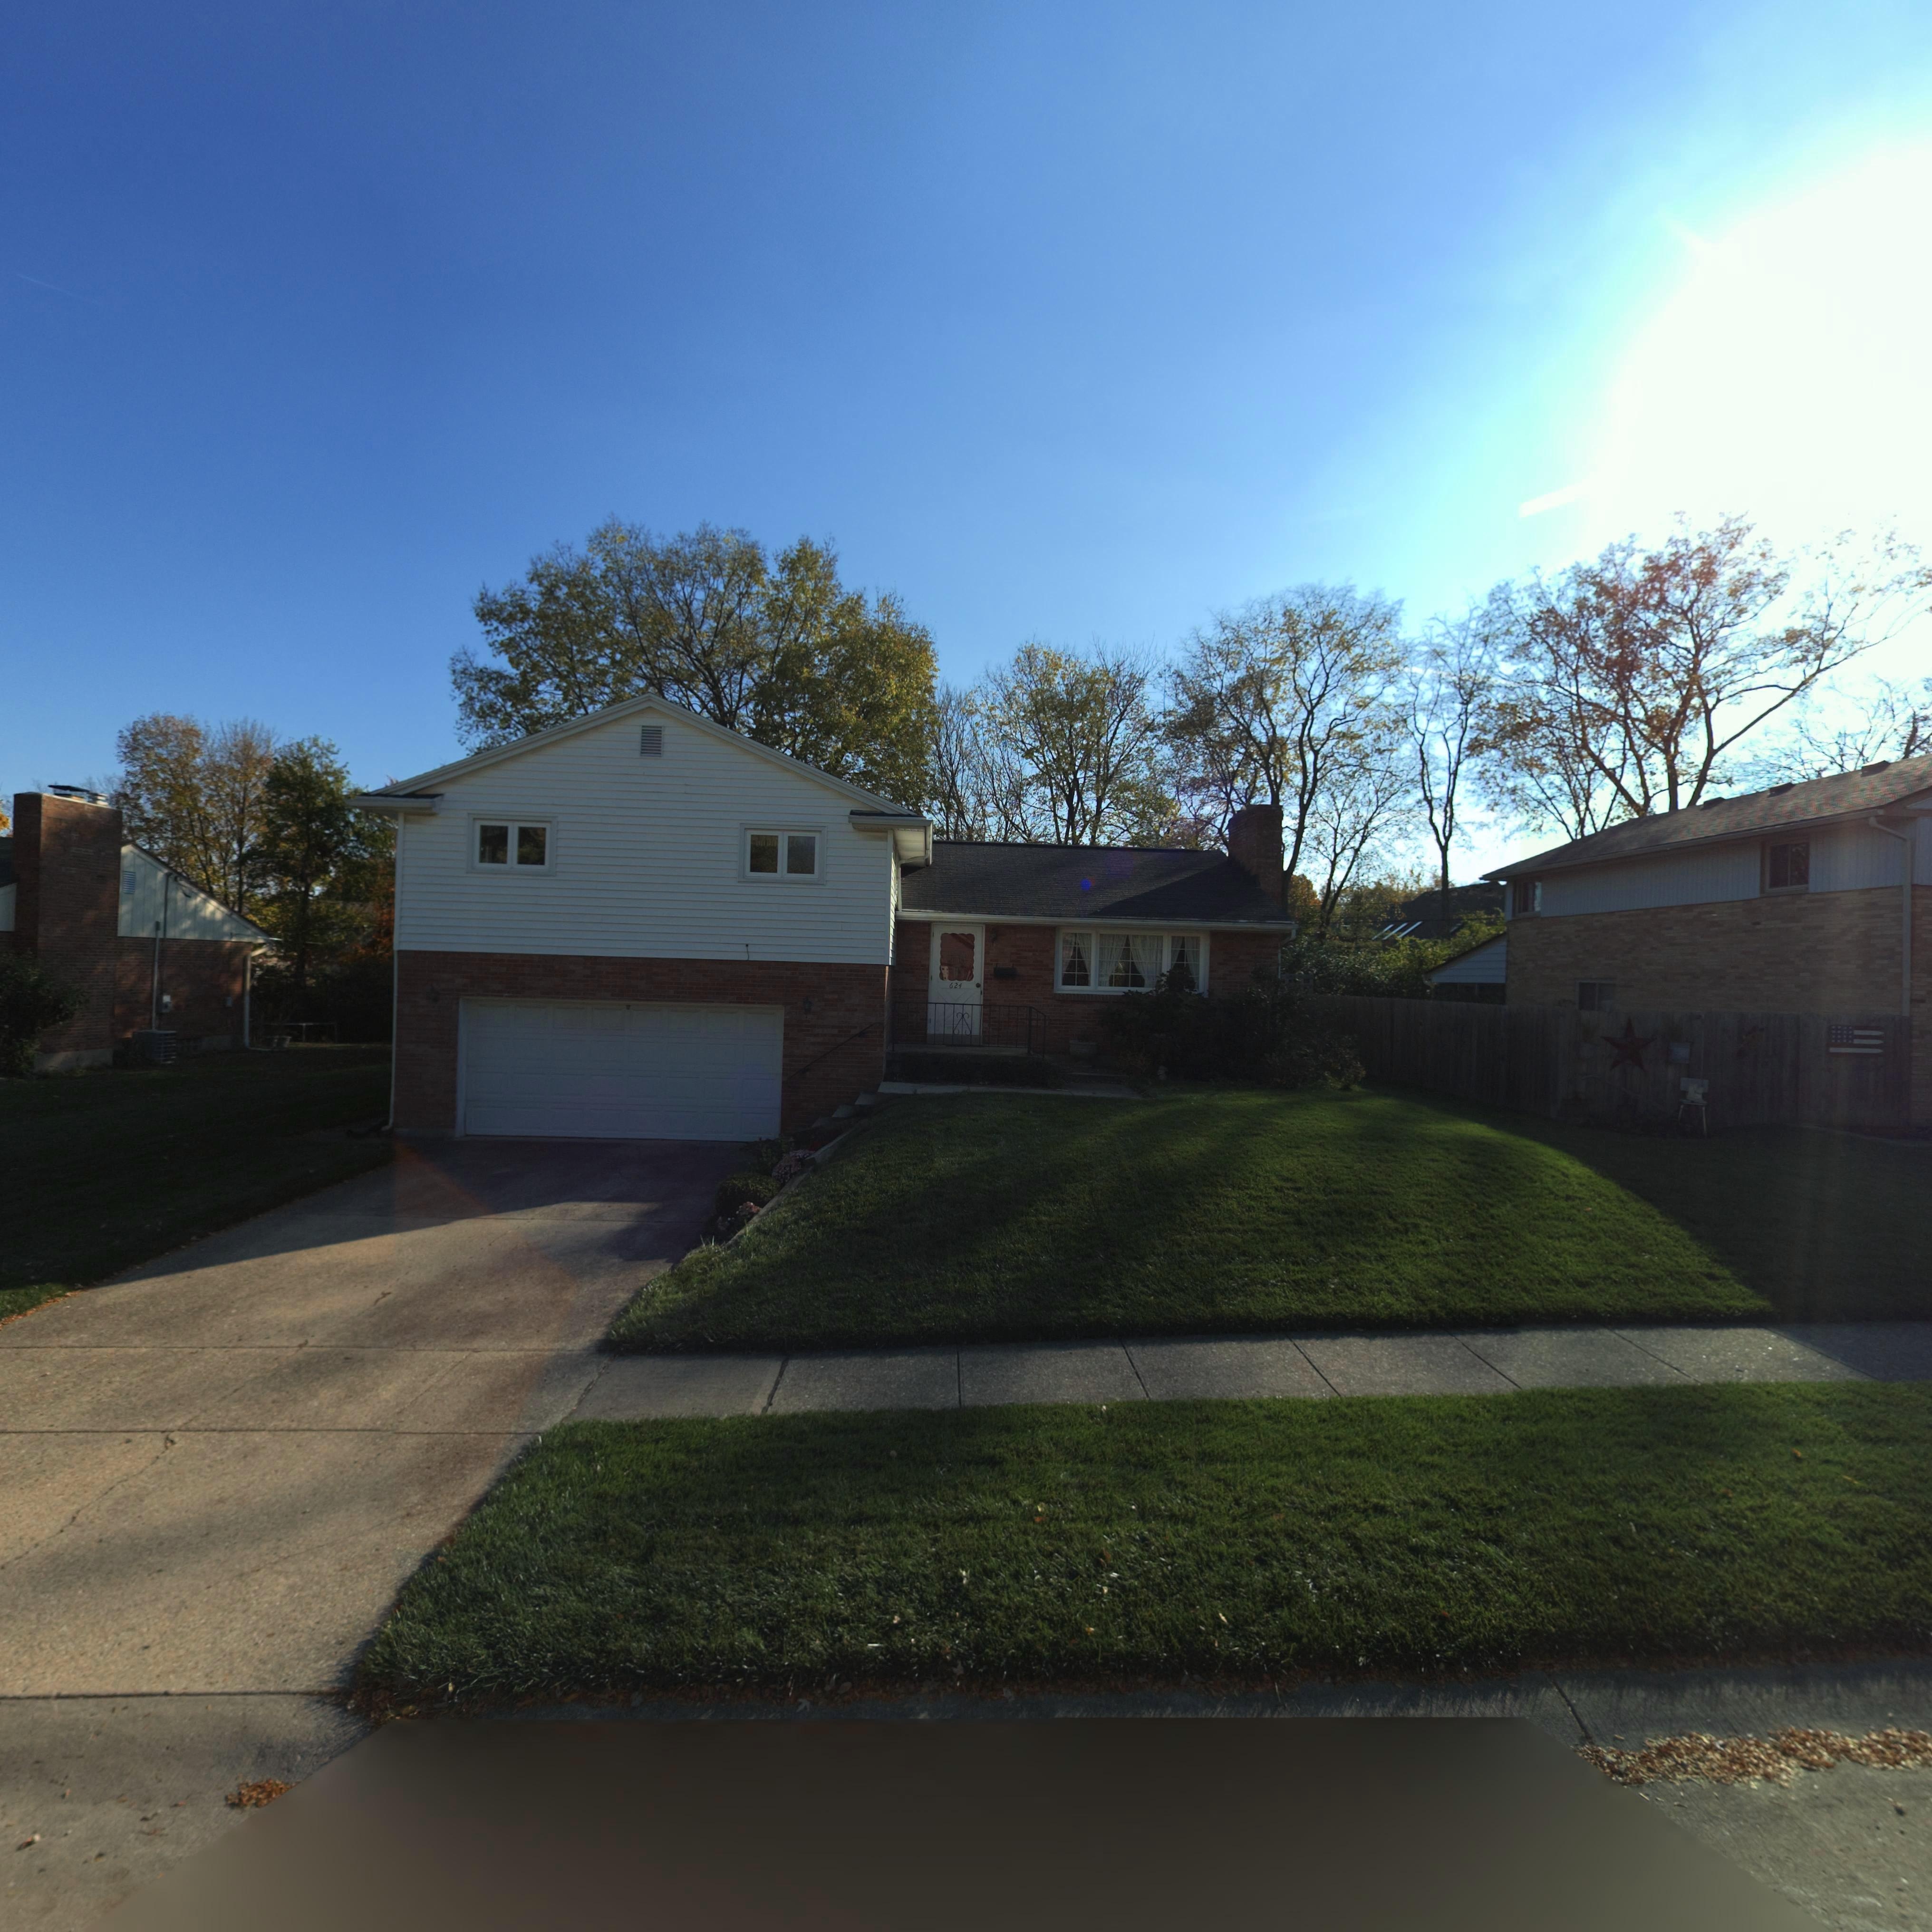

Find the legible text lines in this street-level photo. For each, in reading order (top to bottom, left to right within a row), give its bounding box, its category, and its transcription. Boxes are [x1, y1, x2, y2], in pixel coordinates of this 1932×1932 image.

[948, 982, 963, 989] StreetNumber: 624